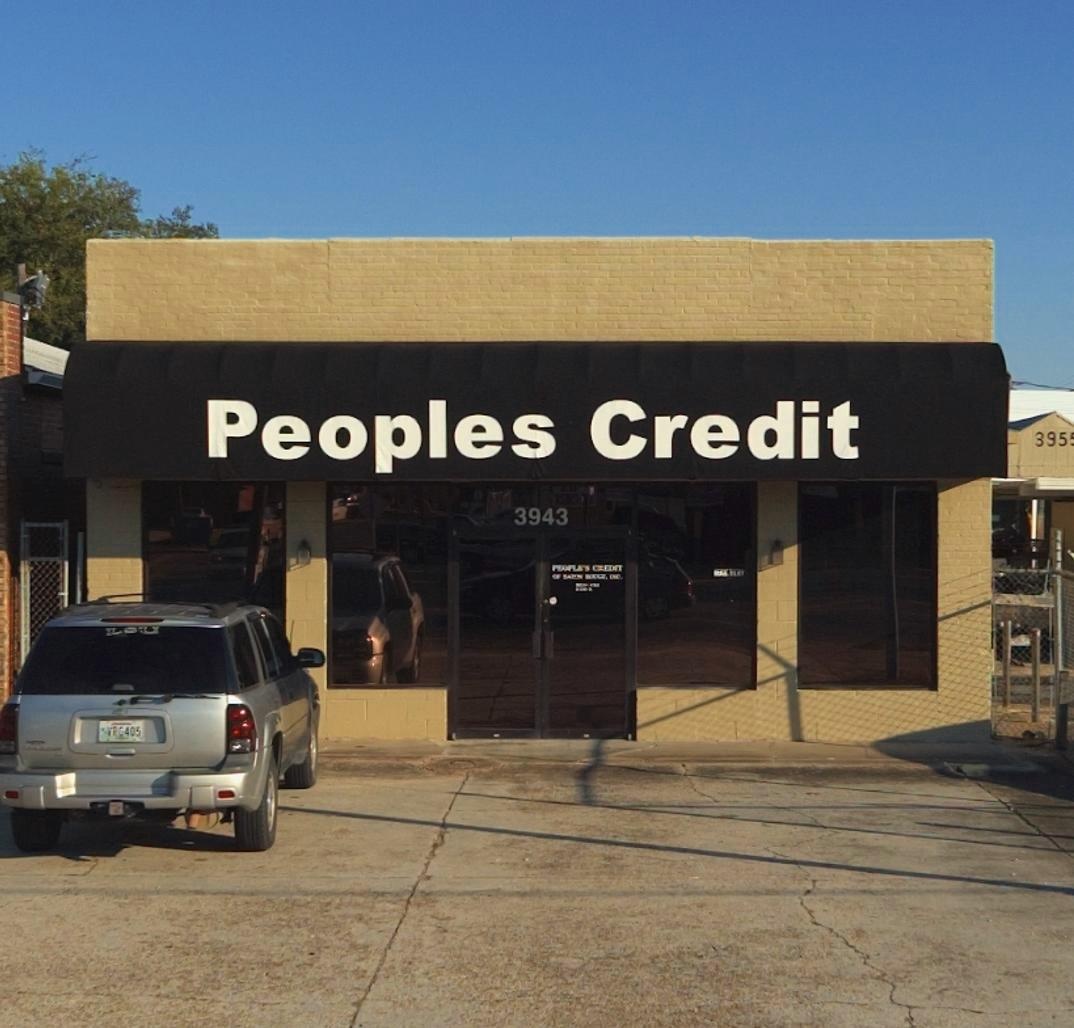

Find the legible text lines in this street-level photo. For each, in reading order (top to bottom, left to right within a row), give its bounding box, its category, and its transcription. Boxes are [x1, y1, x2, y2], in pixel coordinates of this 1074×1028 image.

[203, 392, 863, 480] BusinessName: Peoples Credit
[1033, 429, 1070, 451] StreetNumber: 395
[510, 505, 573, 528] StreetNumber: 3943
[122, 724, 144, 739] None: 405